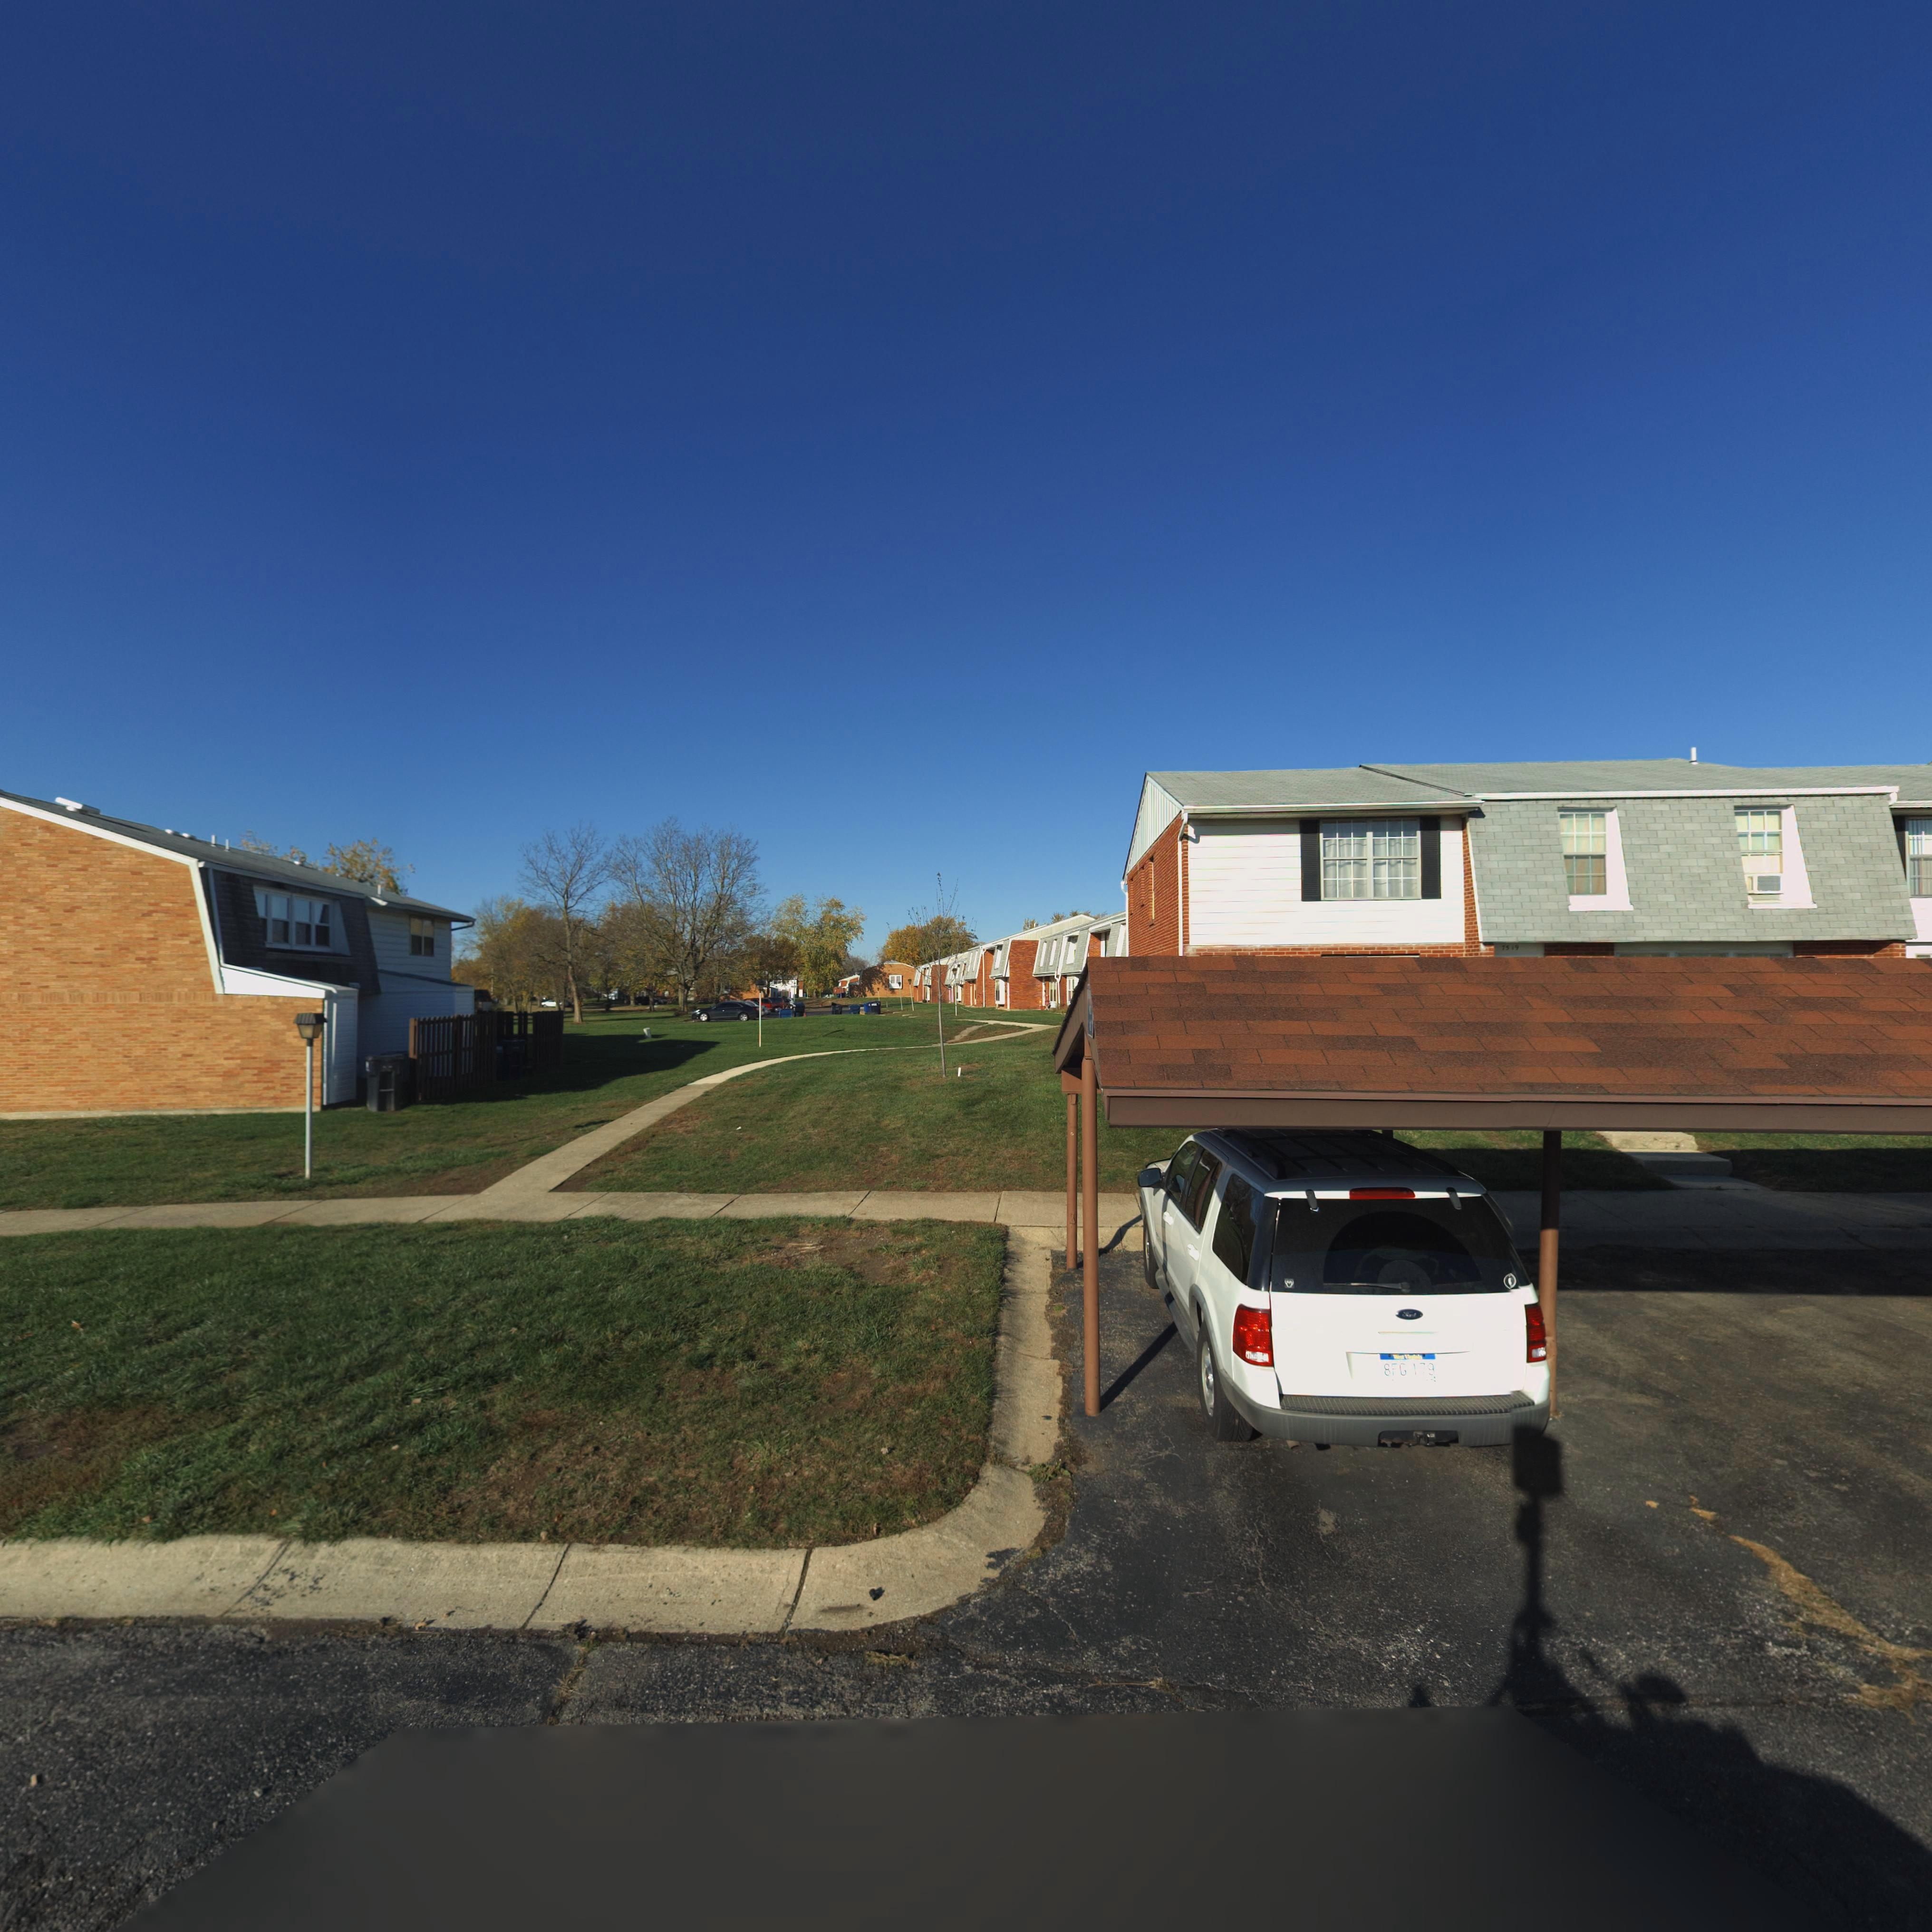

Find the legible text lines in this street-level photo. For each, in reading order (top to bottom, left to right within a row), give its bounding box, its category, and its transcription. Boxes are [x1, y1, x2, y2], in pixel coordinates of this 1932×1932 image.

[1501, 944, 1519, 951] StreetNumber: 7519